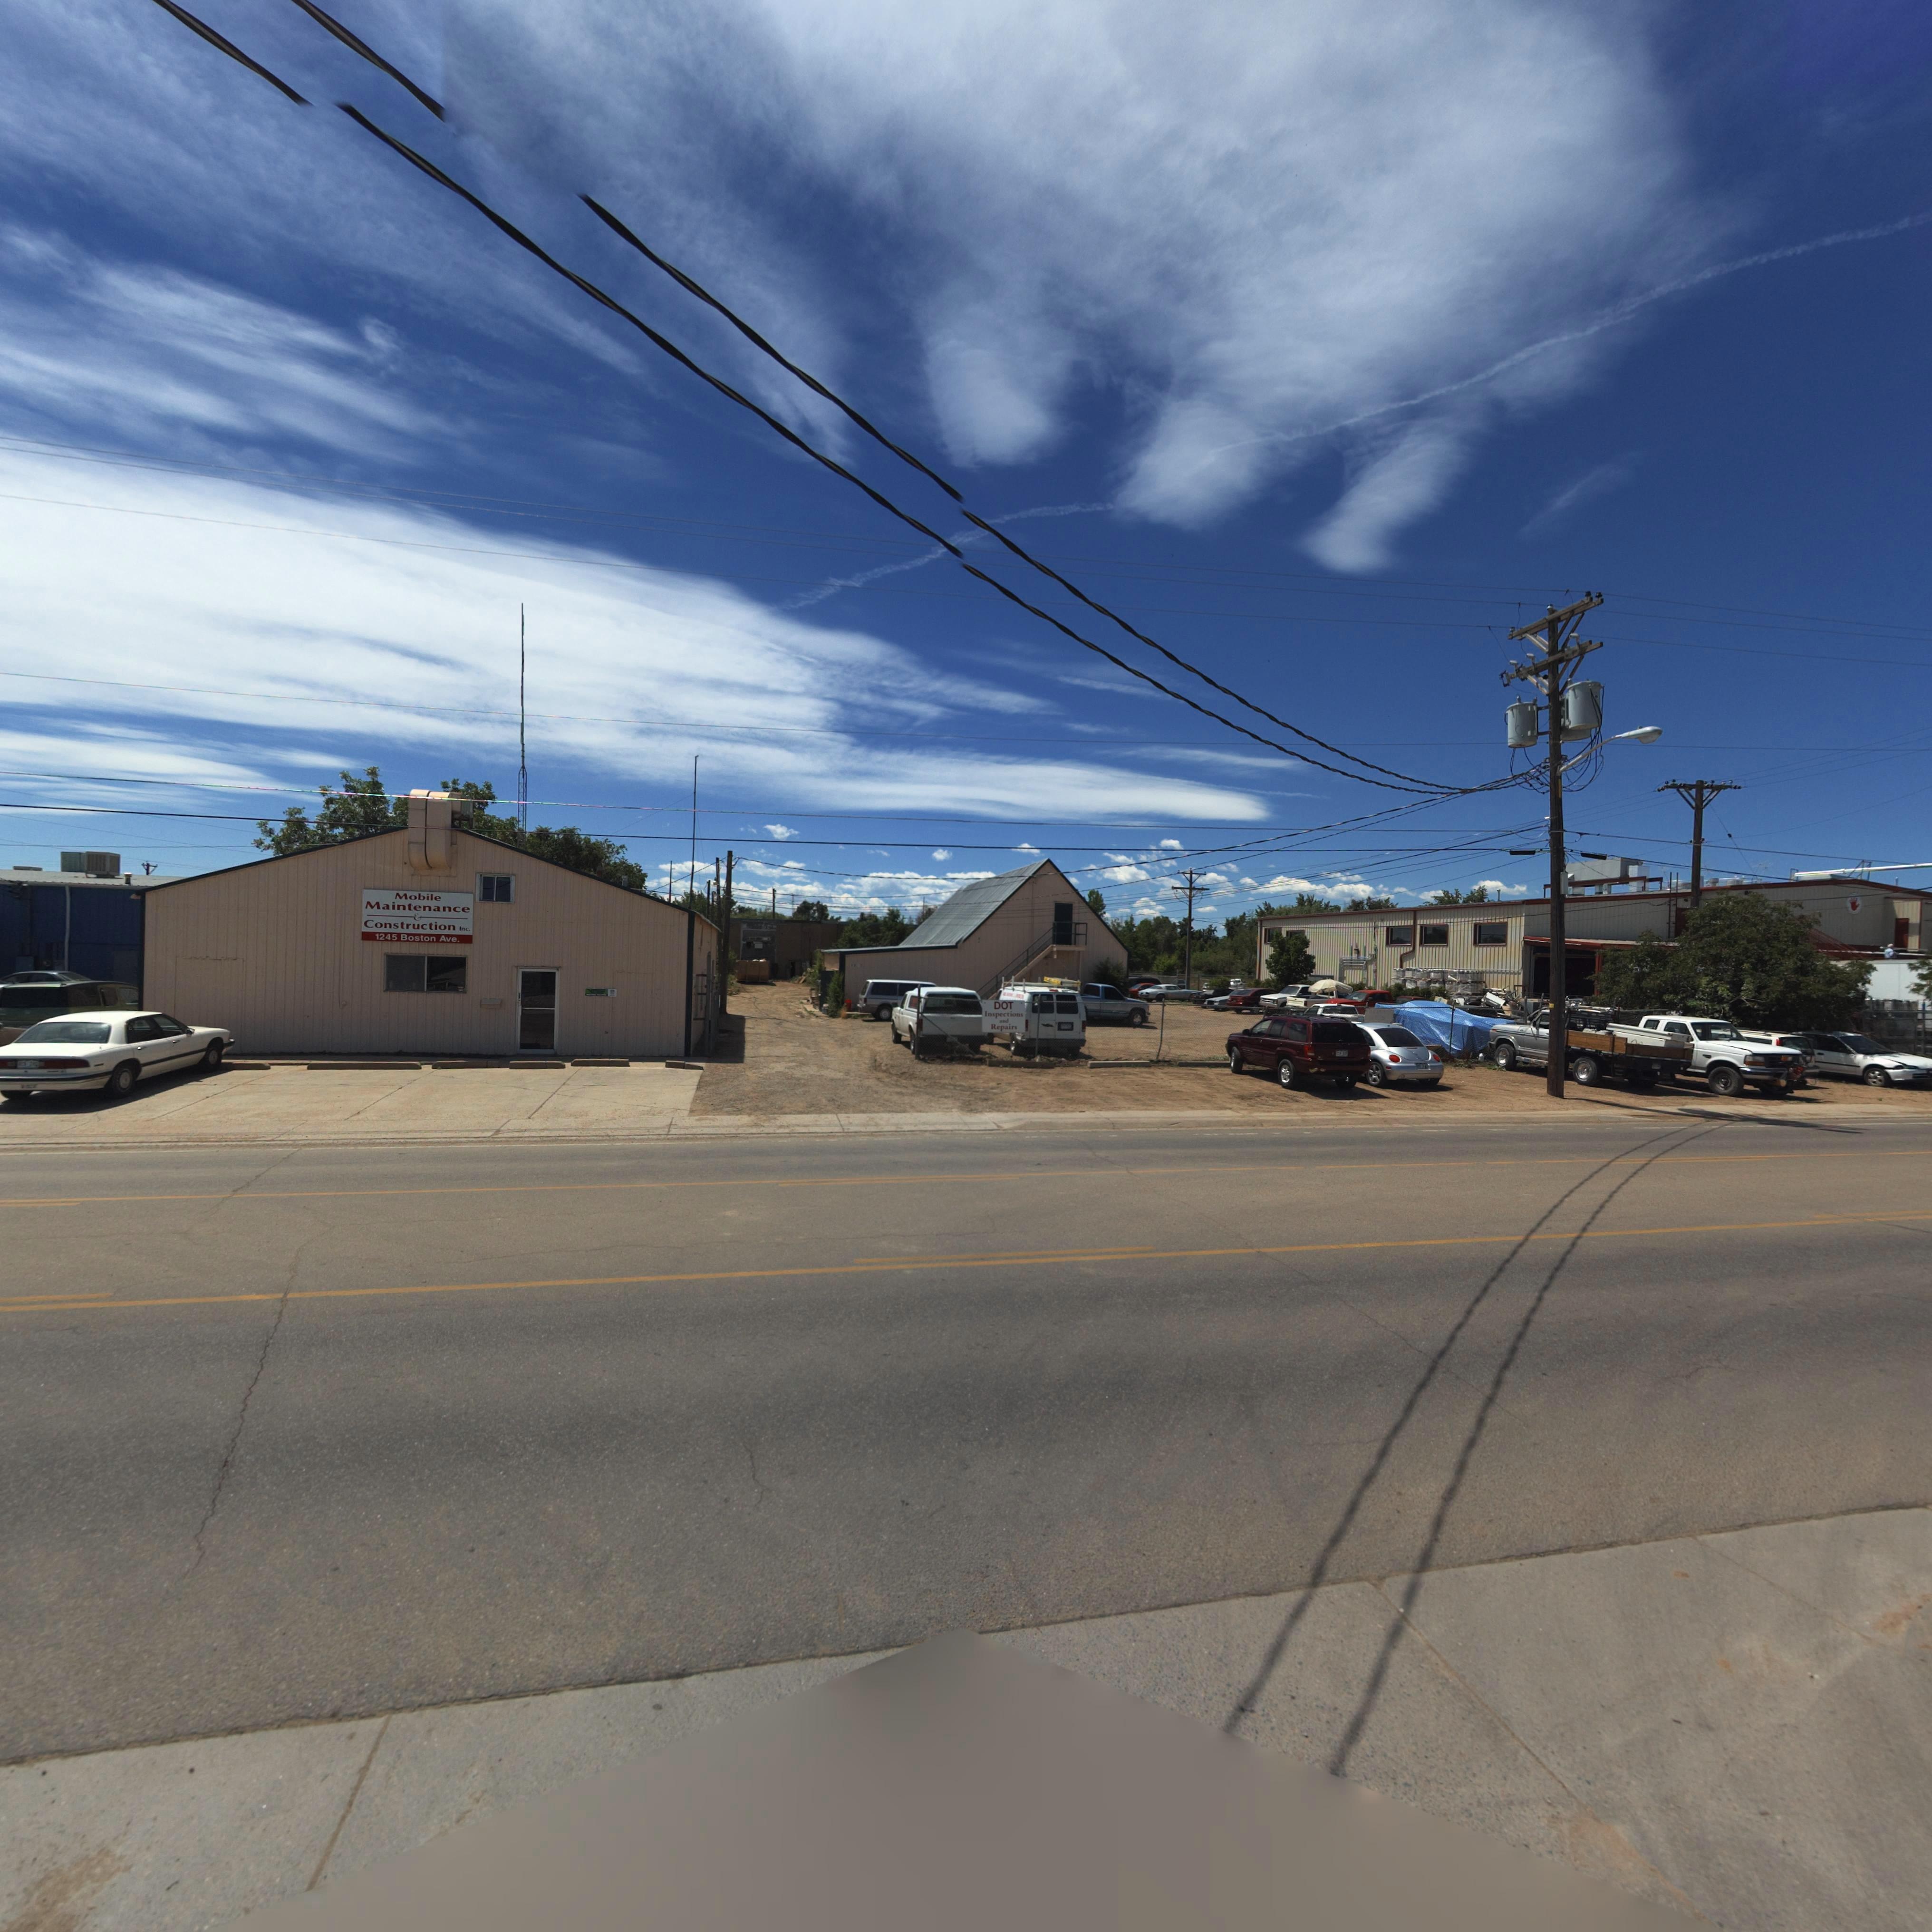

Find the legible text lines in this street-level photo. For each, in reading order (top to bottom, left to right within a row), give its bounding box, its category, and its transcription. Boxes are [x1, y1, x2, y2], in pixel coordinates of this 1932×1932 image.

[393, 891, 442, 902] BusinessName: Mobile
[364, 900, 471, 914] BusinessName: Maintenance
[363, 918, 471, 932] BusinessName: Construction Inc.
[374, 933, 398, 940] StreetNumber: 1245
[400, 934, 460, 942] StreetName: Boston Ave.
[992, 1001, 1014, 1010] BusinessName: DOT
[984, 1010, 1023, 1018] BusinessName: Inspections
[998, 1019, 1009, 1024] BusinessName: and
[990, 1024, 1017, 1032] BusinessName: Repairs